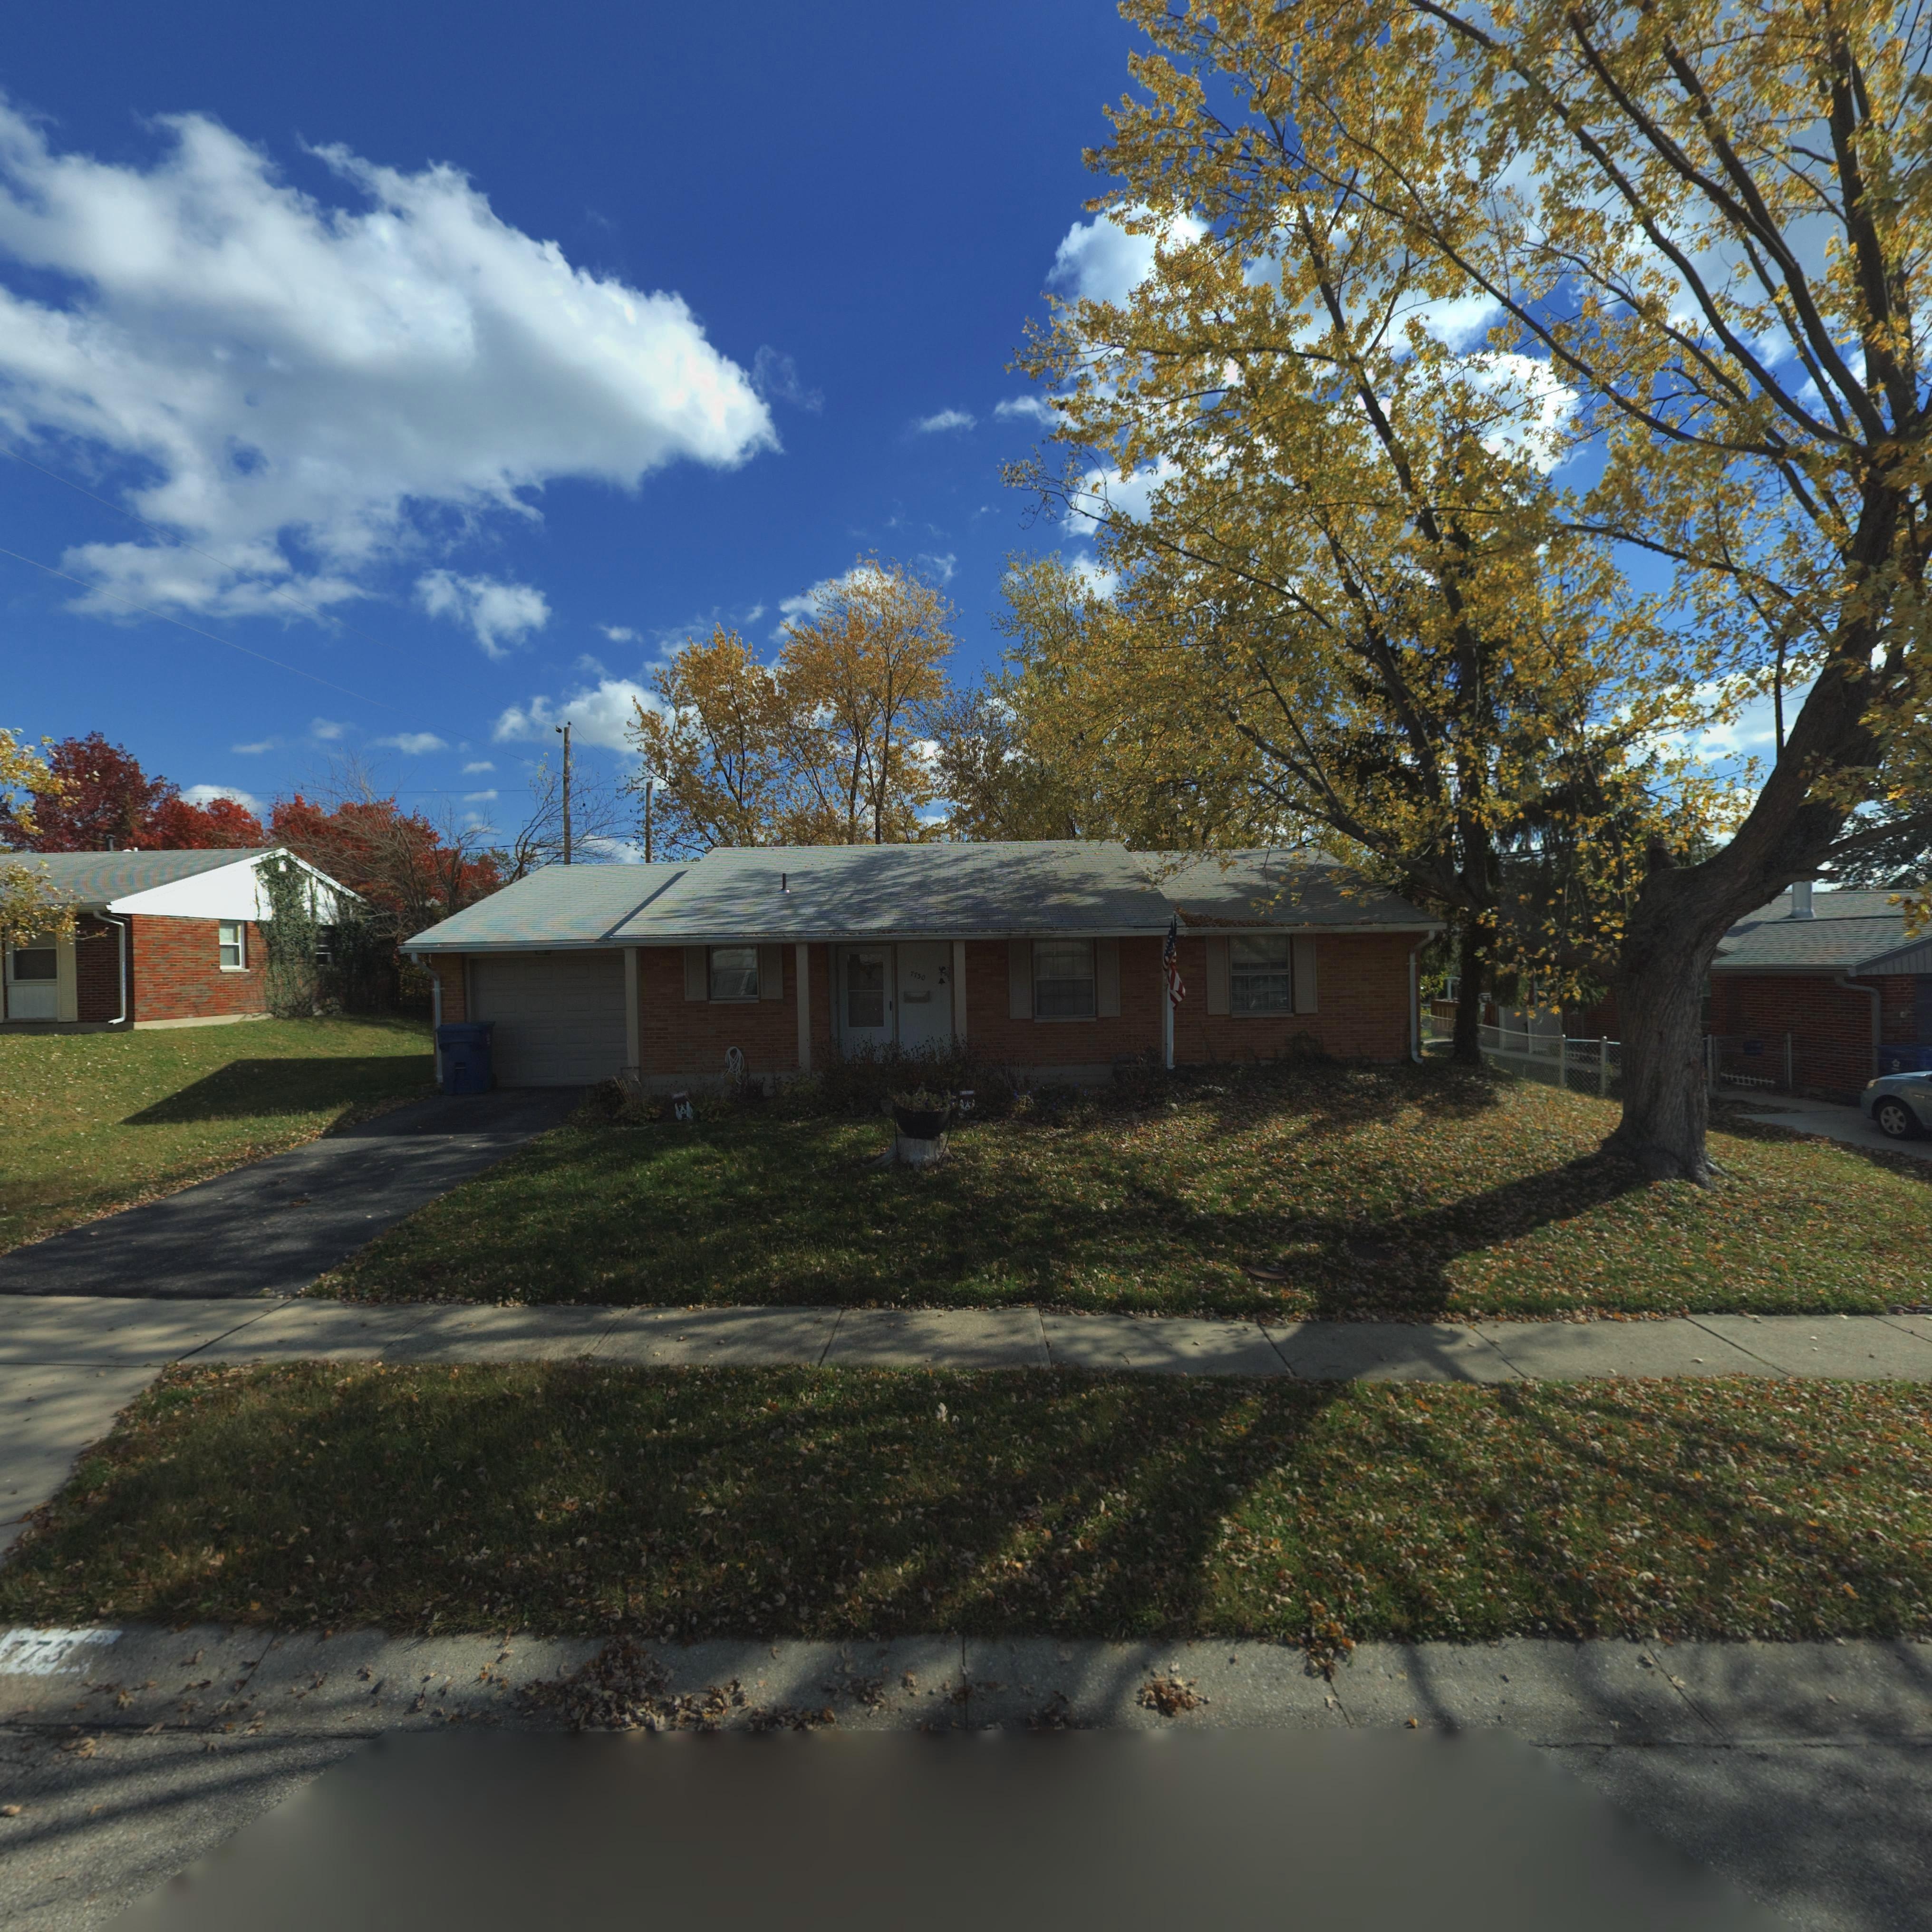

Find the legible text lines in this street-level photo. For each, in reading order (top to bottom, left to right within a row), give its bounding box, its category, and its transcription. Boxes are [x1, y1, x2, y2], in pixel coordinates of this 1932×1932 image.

[910, 970, 926, 982] StreetNumber: 7730
[0, 1638, 75, 1666] StreetNumber: 773